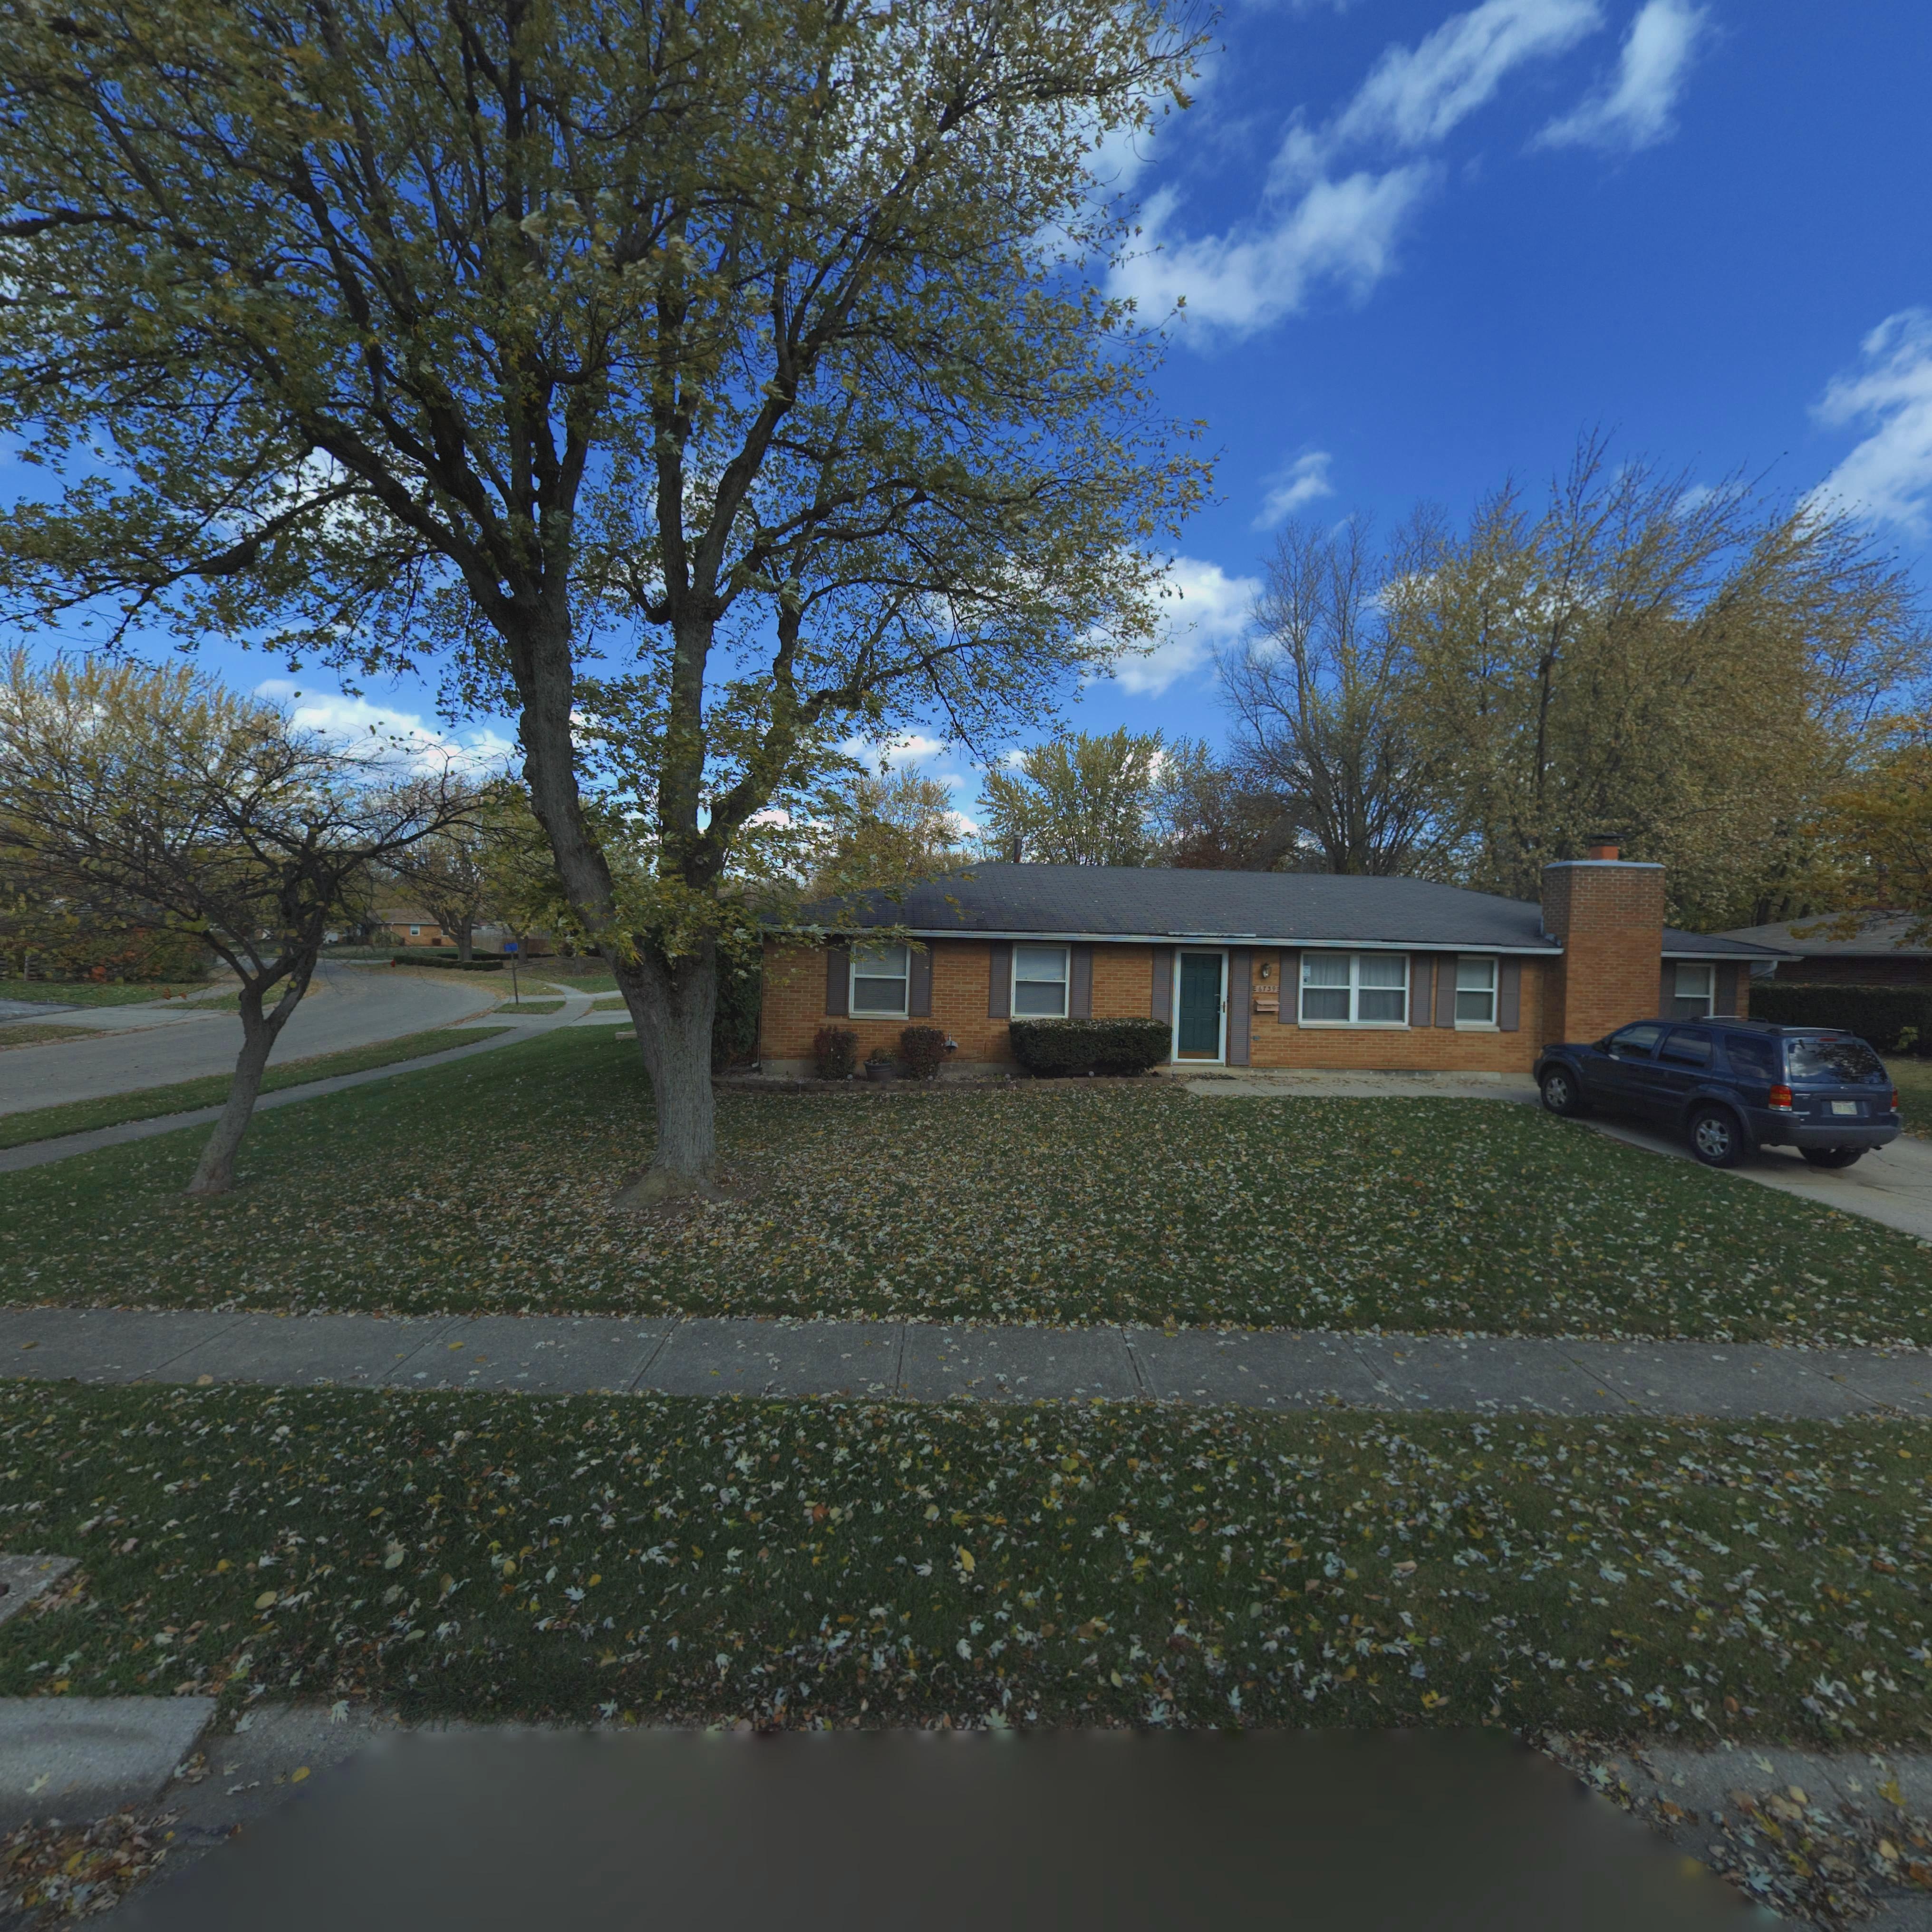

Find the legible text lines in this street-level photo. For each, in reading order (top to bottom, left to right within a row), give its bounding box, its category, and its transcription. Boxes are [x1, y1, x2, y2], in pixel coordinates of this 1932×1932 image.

[1257, 985, 1276, 992] StreetNumber: 6739